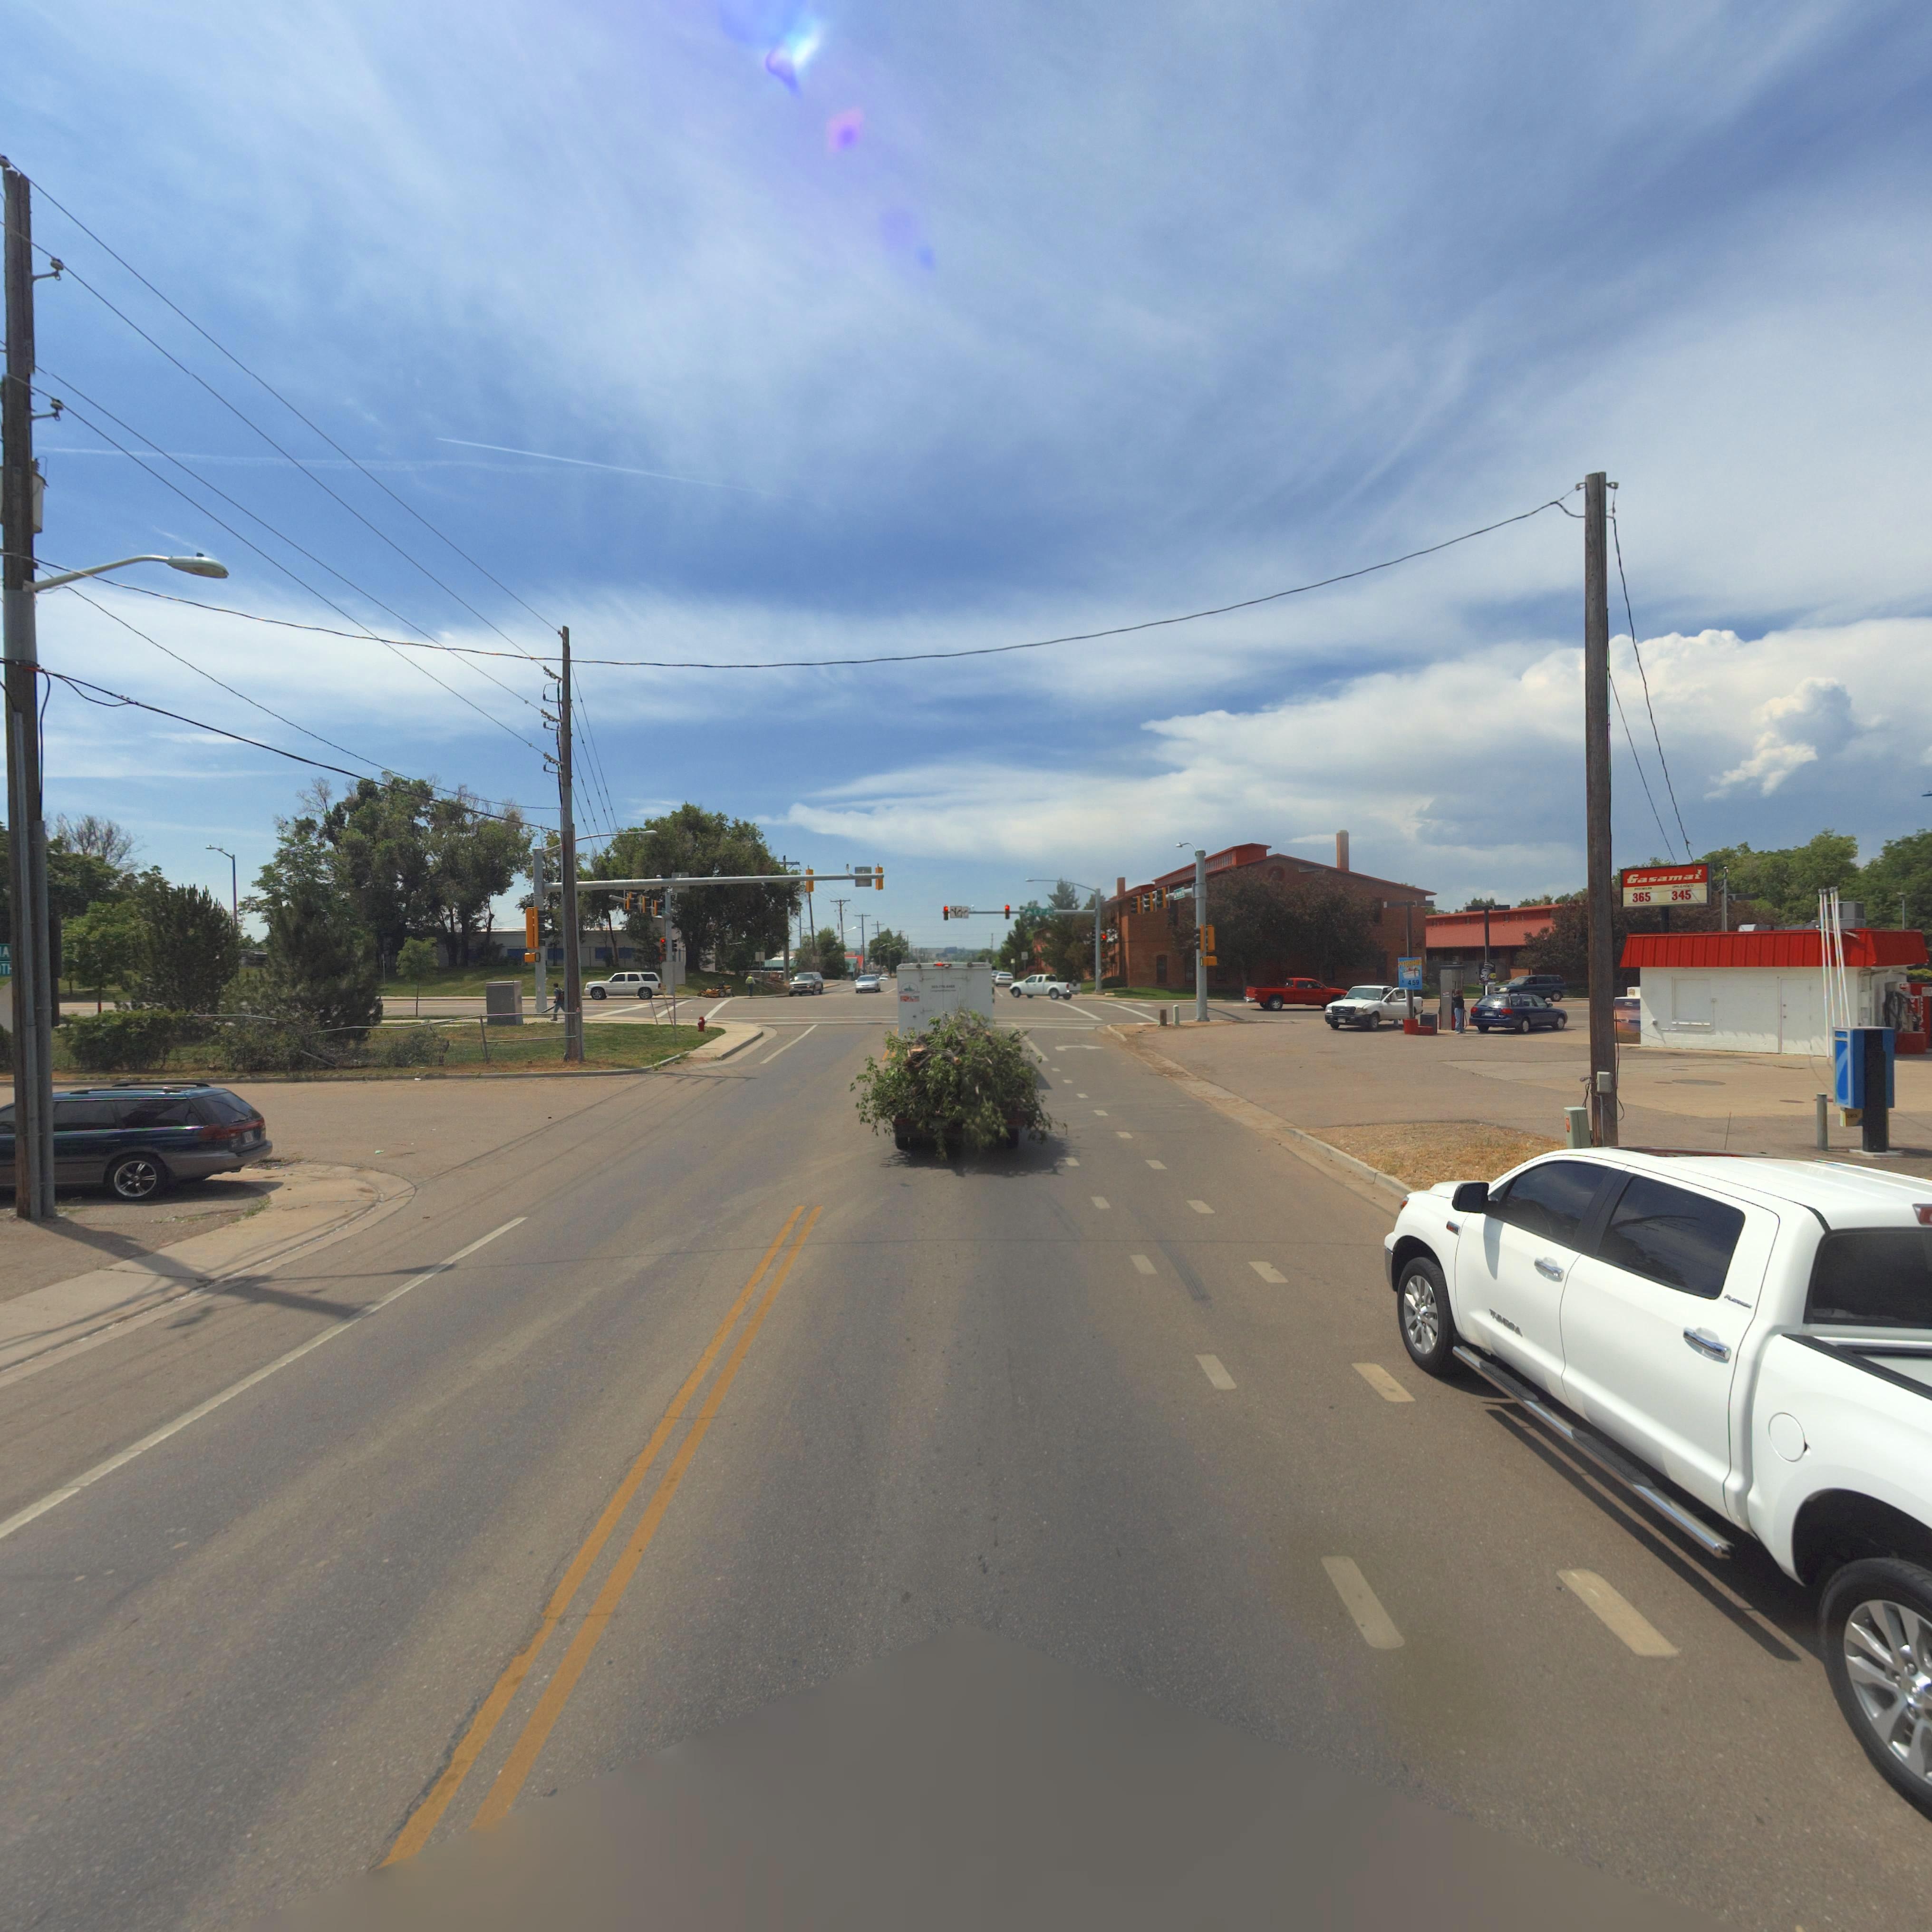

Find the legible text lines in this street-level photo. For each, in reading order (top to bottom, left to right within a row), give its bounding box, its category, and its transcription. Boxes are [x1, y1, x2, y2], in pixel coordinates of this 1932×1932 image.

[1626, 869, 1702, 884] BusinessName: Gasamat
[1034, 908, 1053, 914] StreetName: E 3rd Av
[1, 946, 10, 957] BusinessName: A
[1, 963, 7, 975] StreetName: T